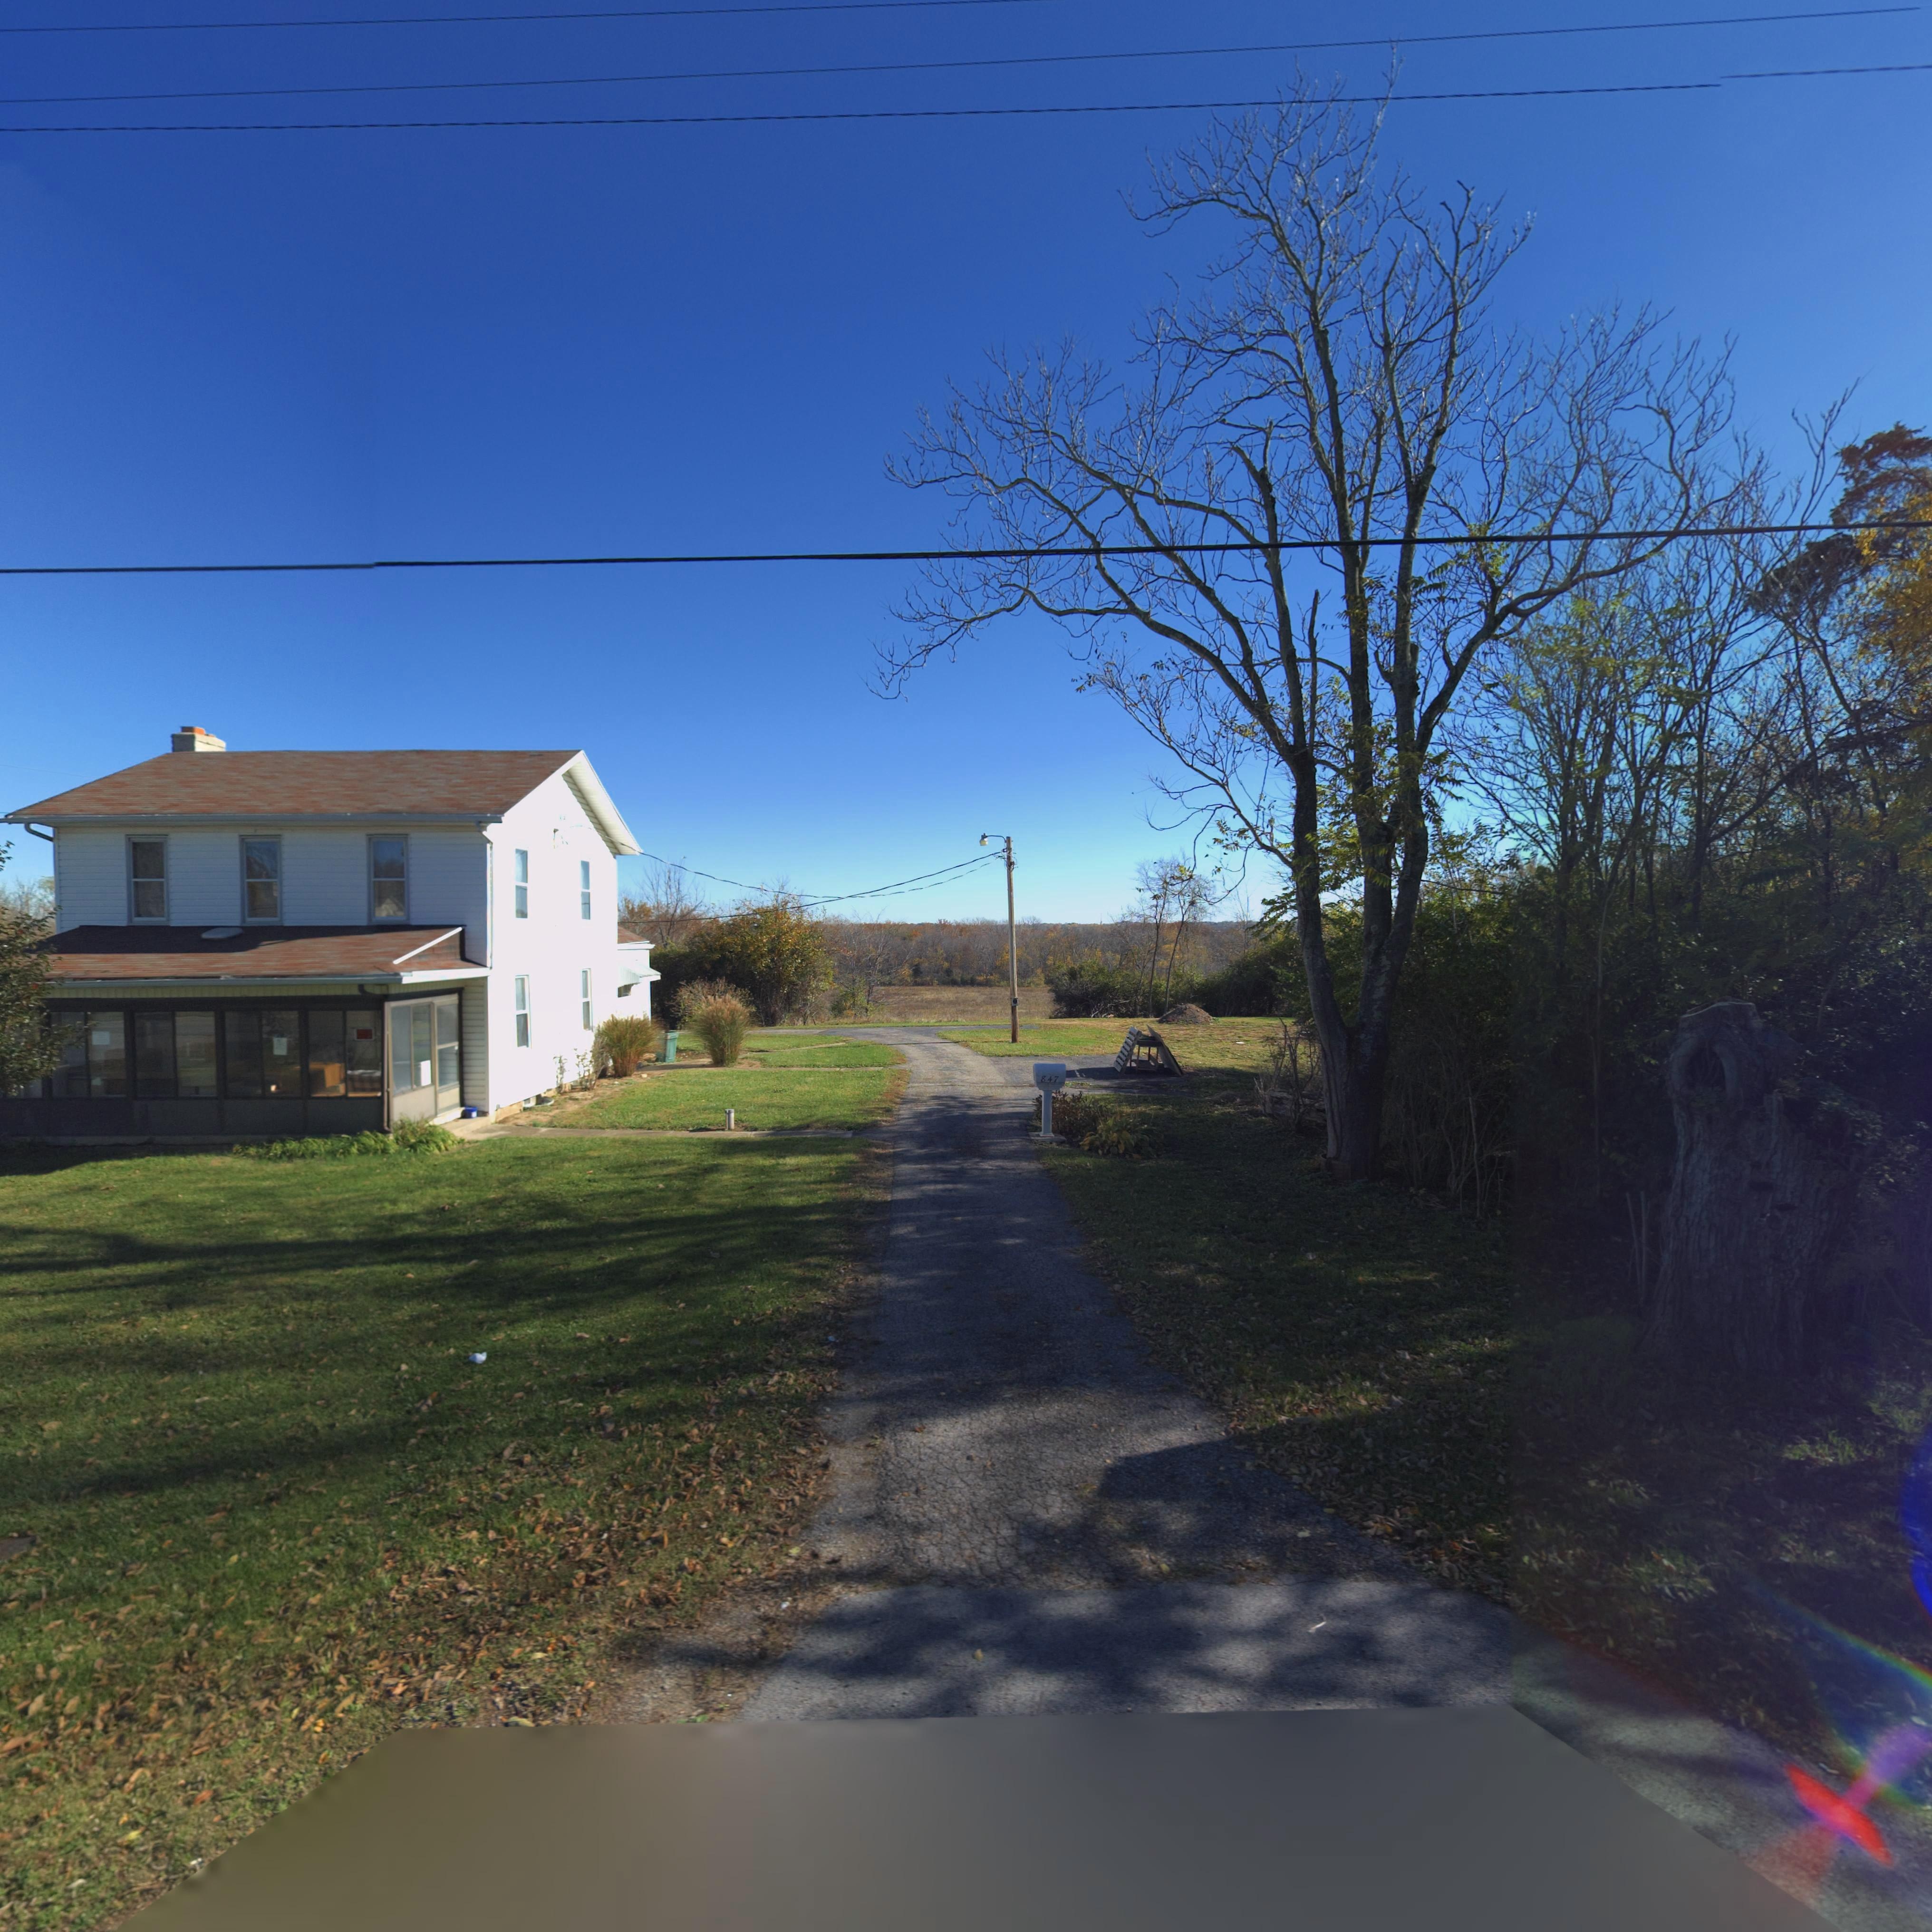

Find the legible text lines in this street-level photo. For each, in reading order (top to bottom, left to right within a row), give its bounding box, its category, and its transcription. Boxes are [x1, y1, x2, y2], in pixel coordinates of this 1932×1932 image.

[1040, 1074, 1060, 1084] StreetNumber: 847